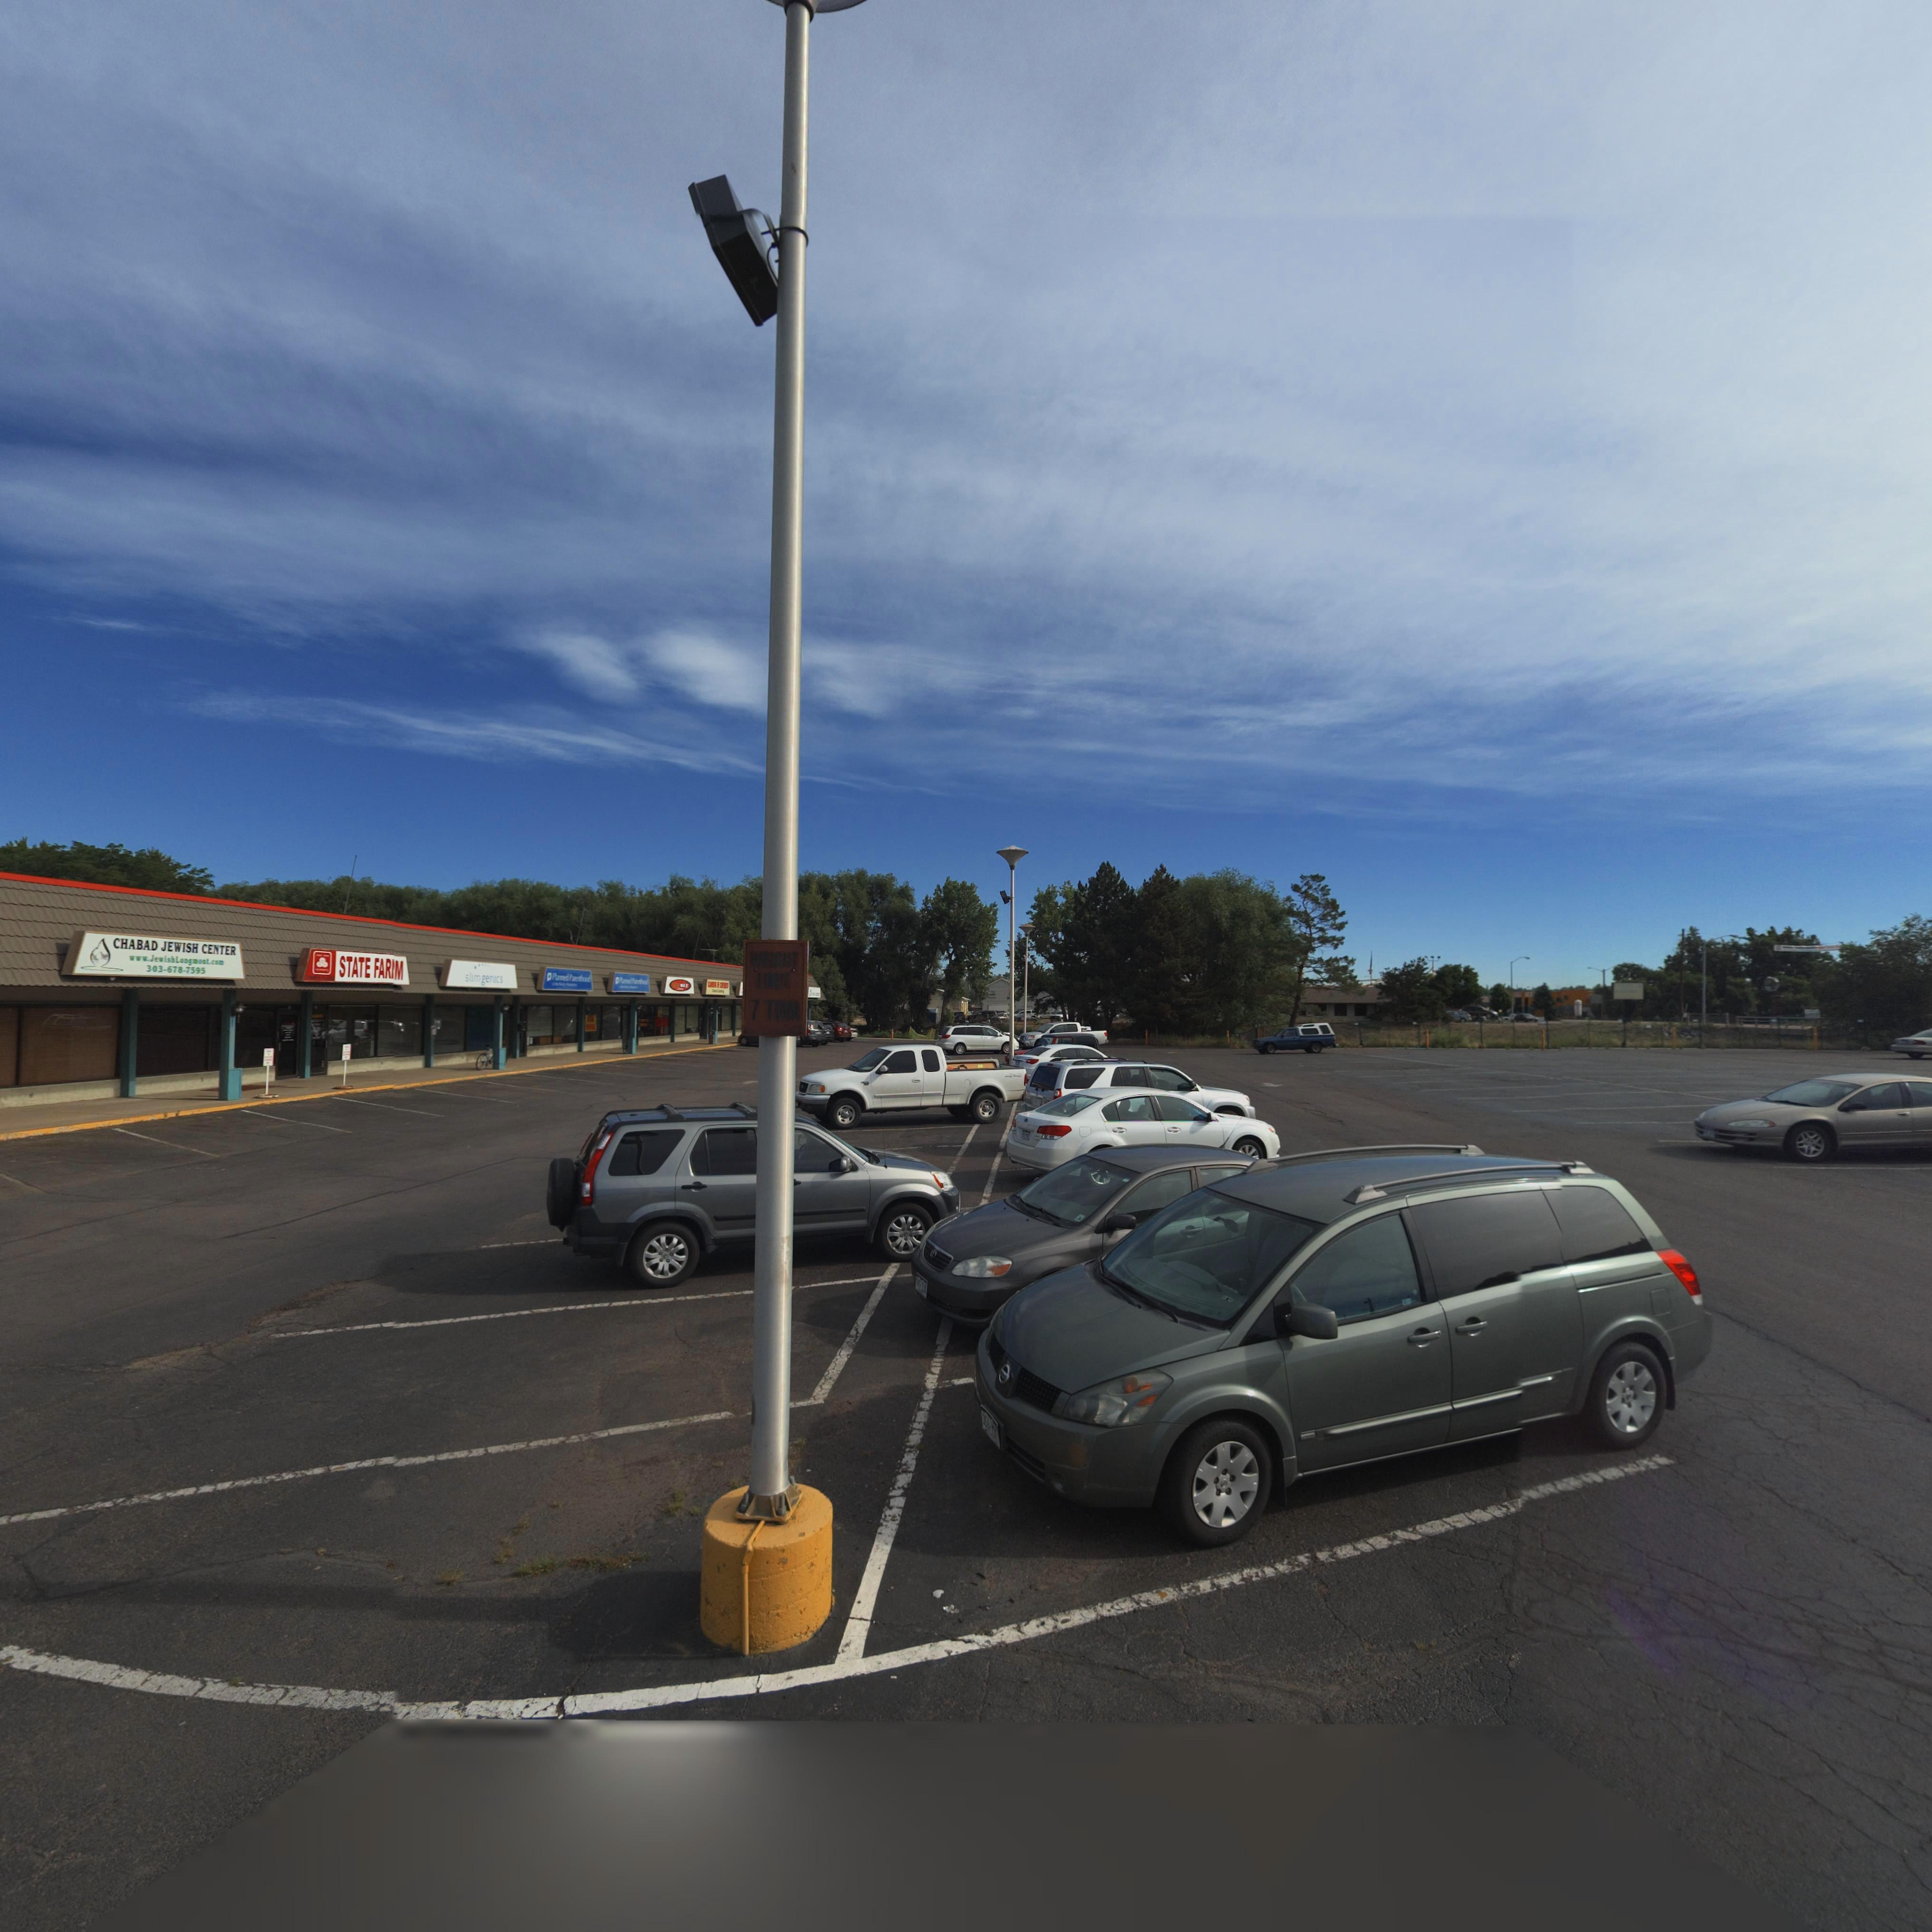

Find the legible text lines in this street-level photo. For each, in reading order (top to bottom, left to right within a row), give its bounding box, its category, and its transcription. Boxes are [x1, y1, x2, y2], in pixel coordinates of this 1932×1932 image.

[112, 937, 236, 955] BusinessName: CHABAD JEWISH CENTER
[338, 955, 404, 980] BusinessName: STATE FARM
[464, 971, 503, 986] BusinessName: slimgenics
[551, 972, 591, 982] BusinessName: Pl*nned Pare**ood